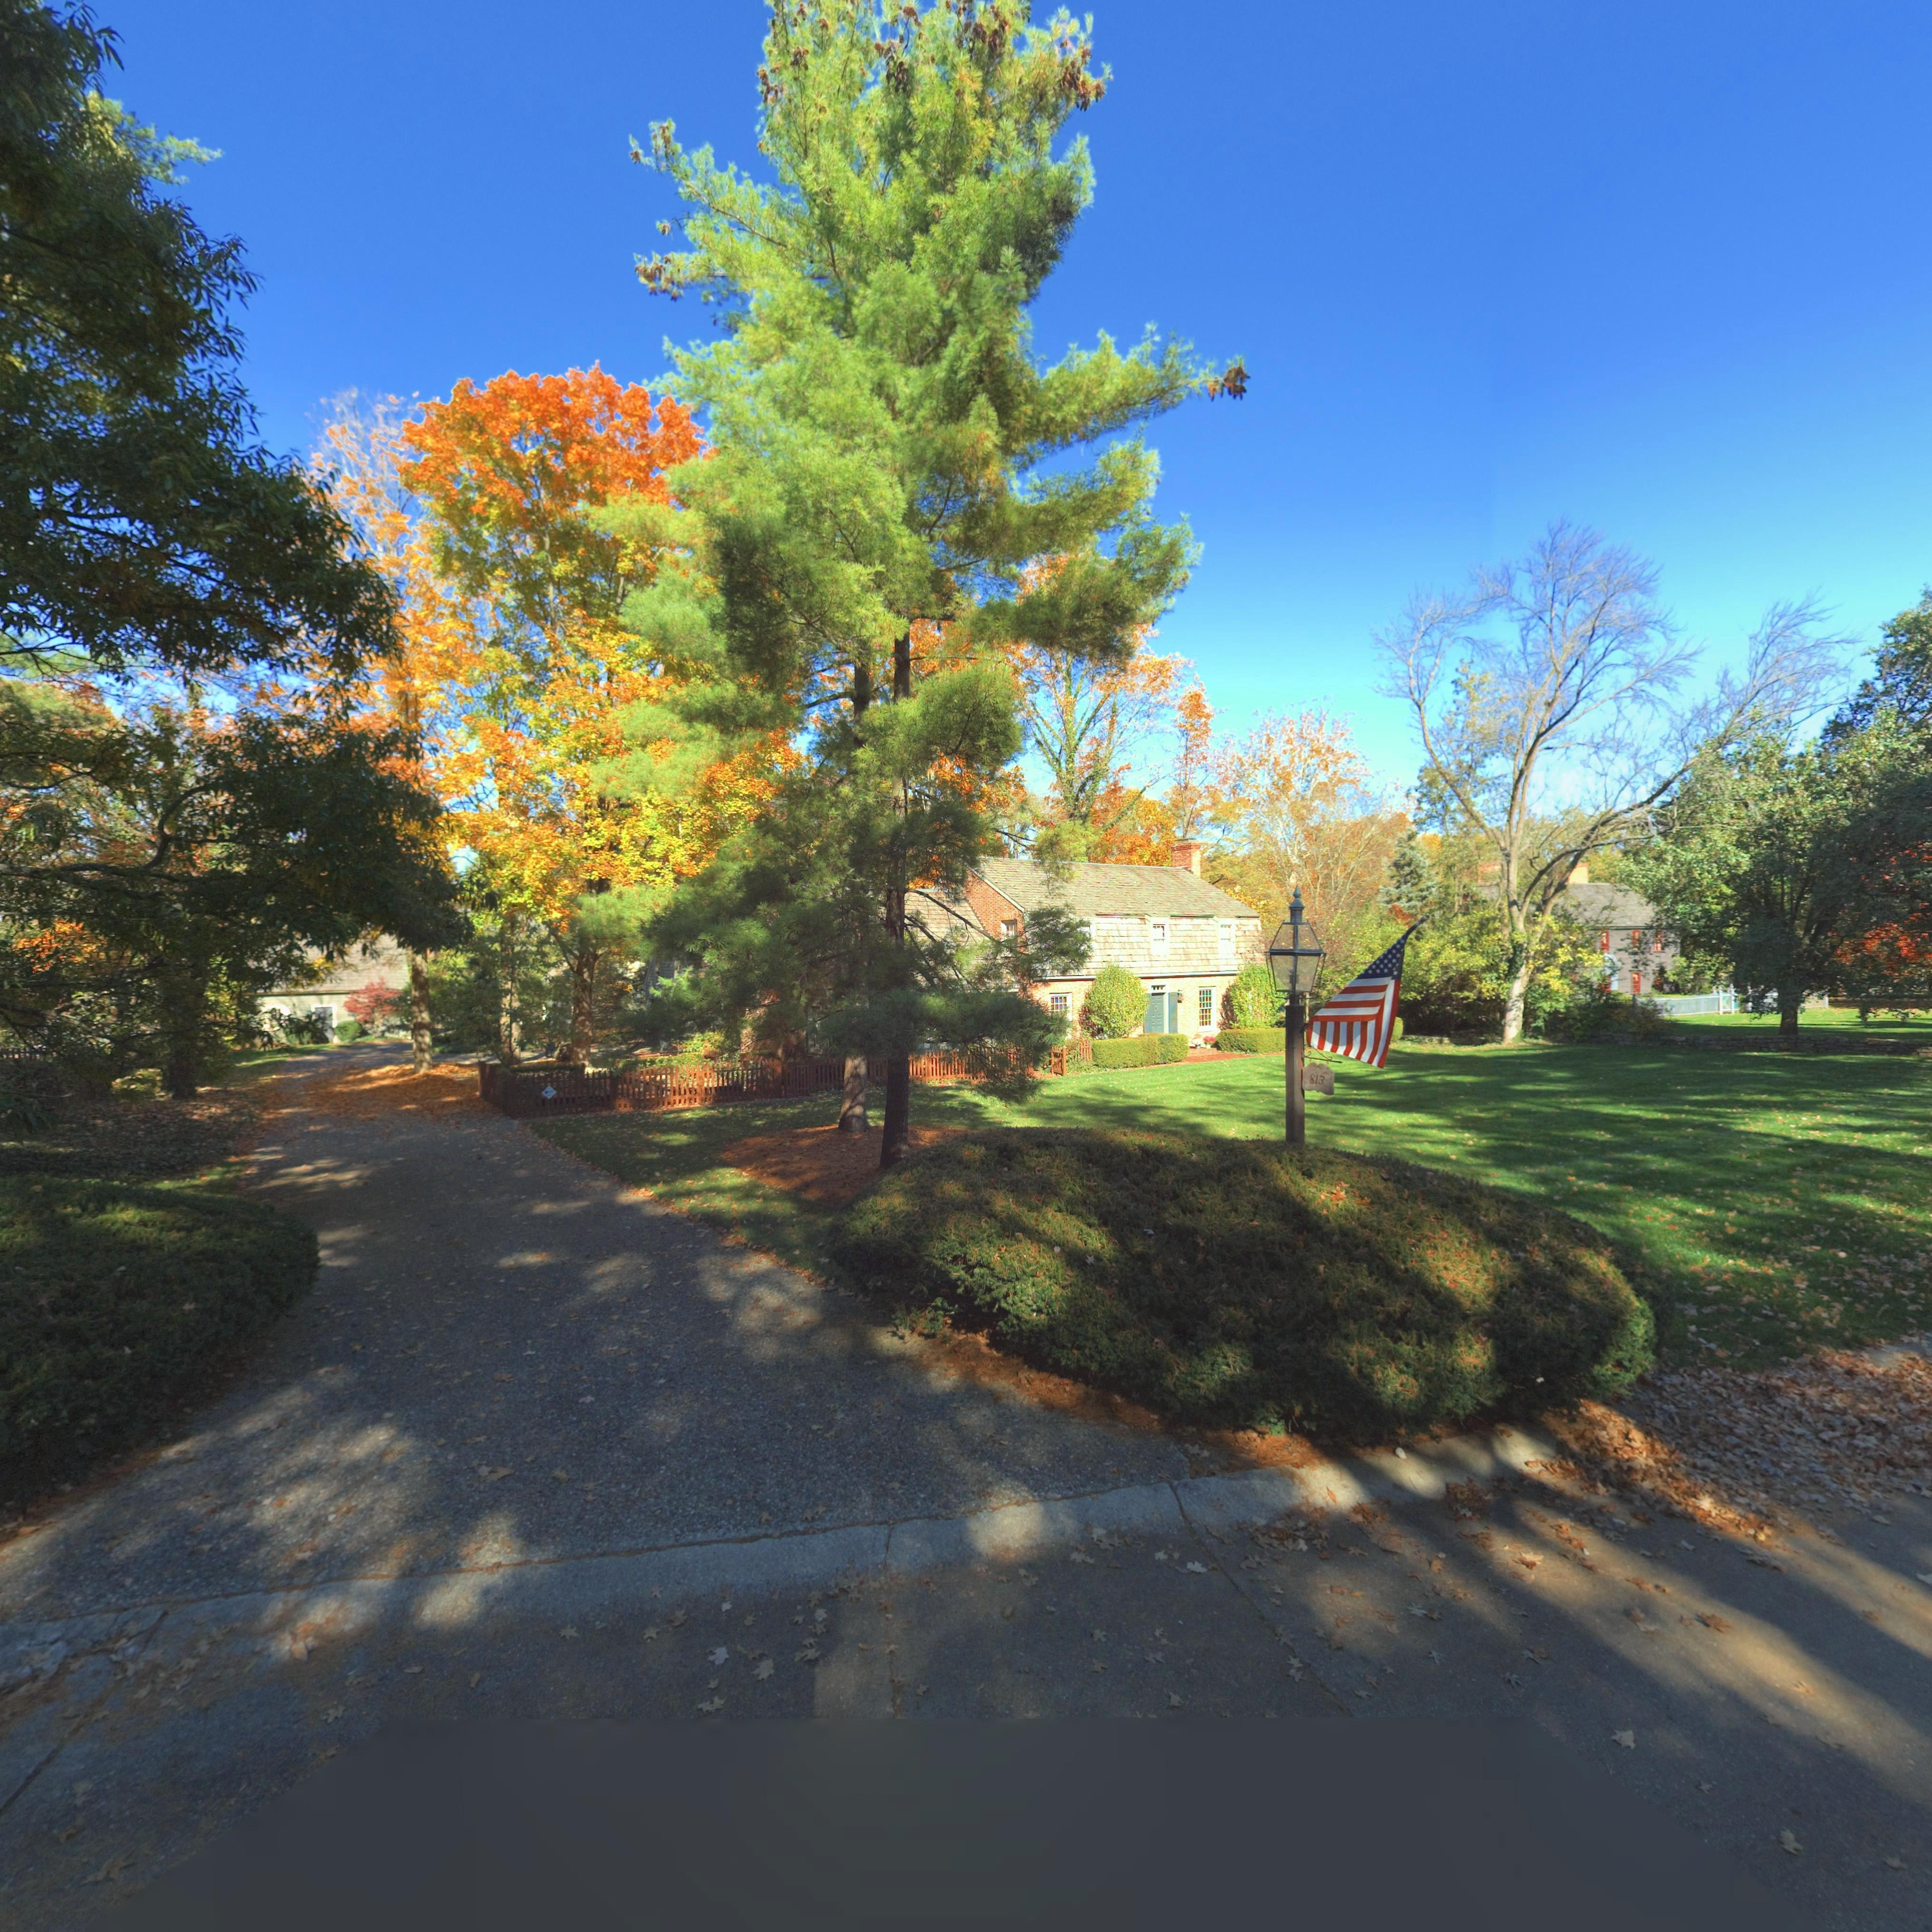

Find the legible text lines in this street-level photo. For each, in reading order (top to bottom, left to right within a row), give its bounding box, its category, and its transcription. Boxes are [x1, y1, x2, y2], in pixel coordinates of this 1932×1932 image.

[1309, 1073, 1325, 1085] StreetNumber: 813